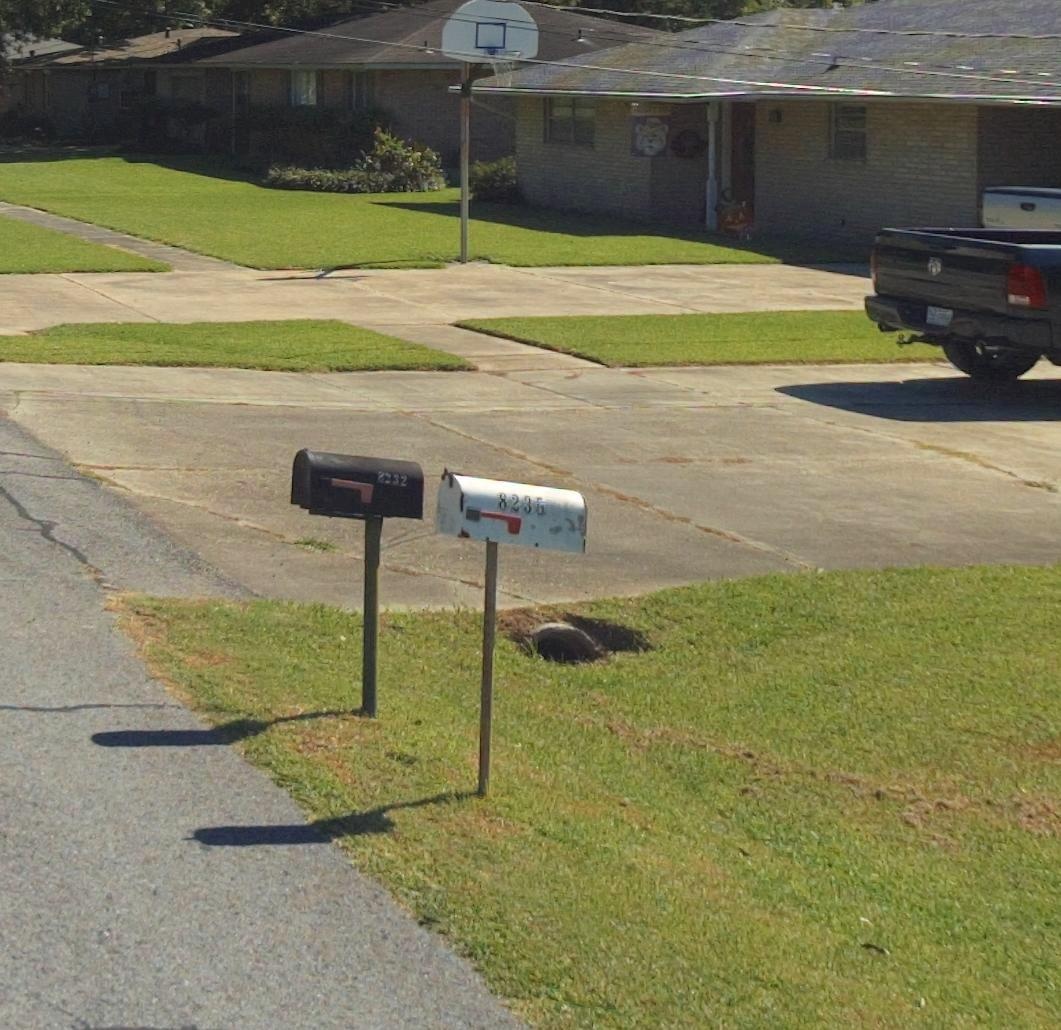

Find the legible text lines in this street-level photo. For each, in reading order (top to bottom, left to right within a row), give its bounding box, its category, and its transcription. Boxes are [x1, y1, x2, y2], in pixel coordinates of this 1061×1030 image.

[373, 467, 410, 490] StreetNumber: 2332
[495, 489, 549, 518] StreetNumber: 8236